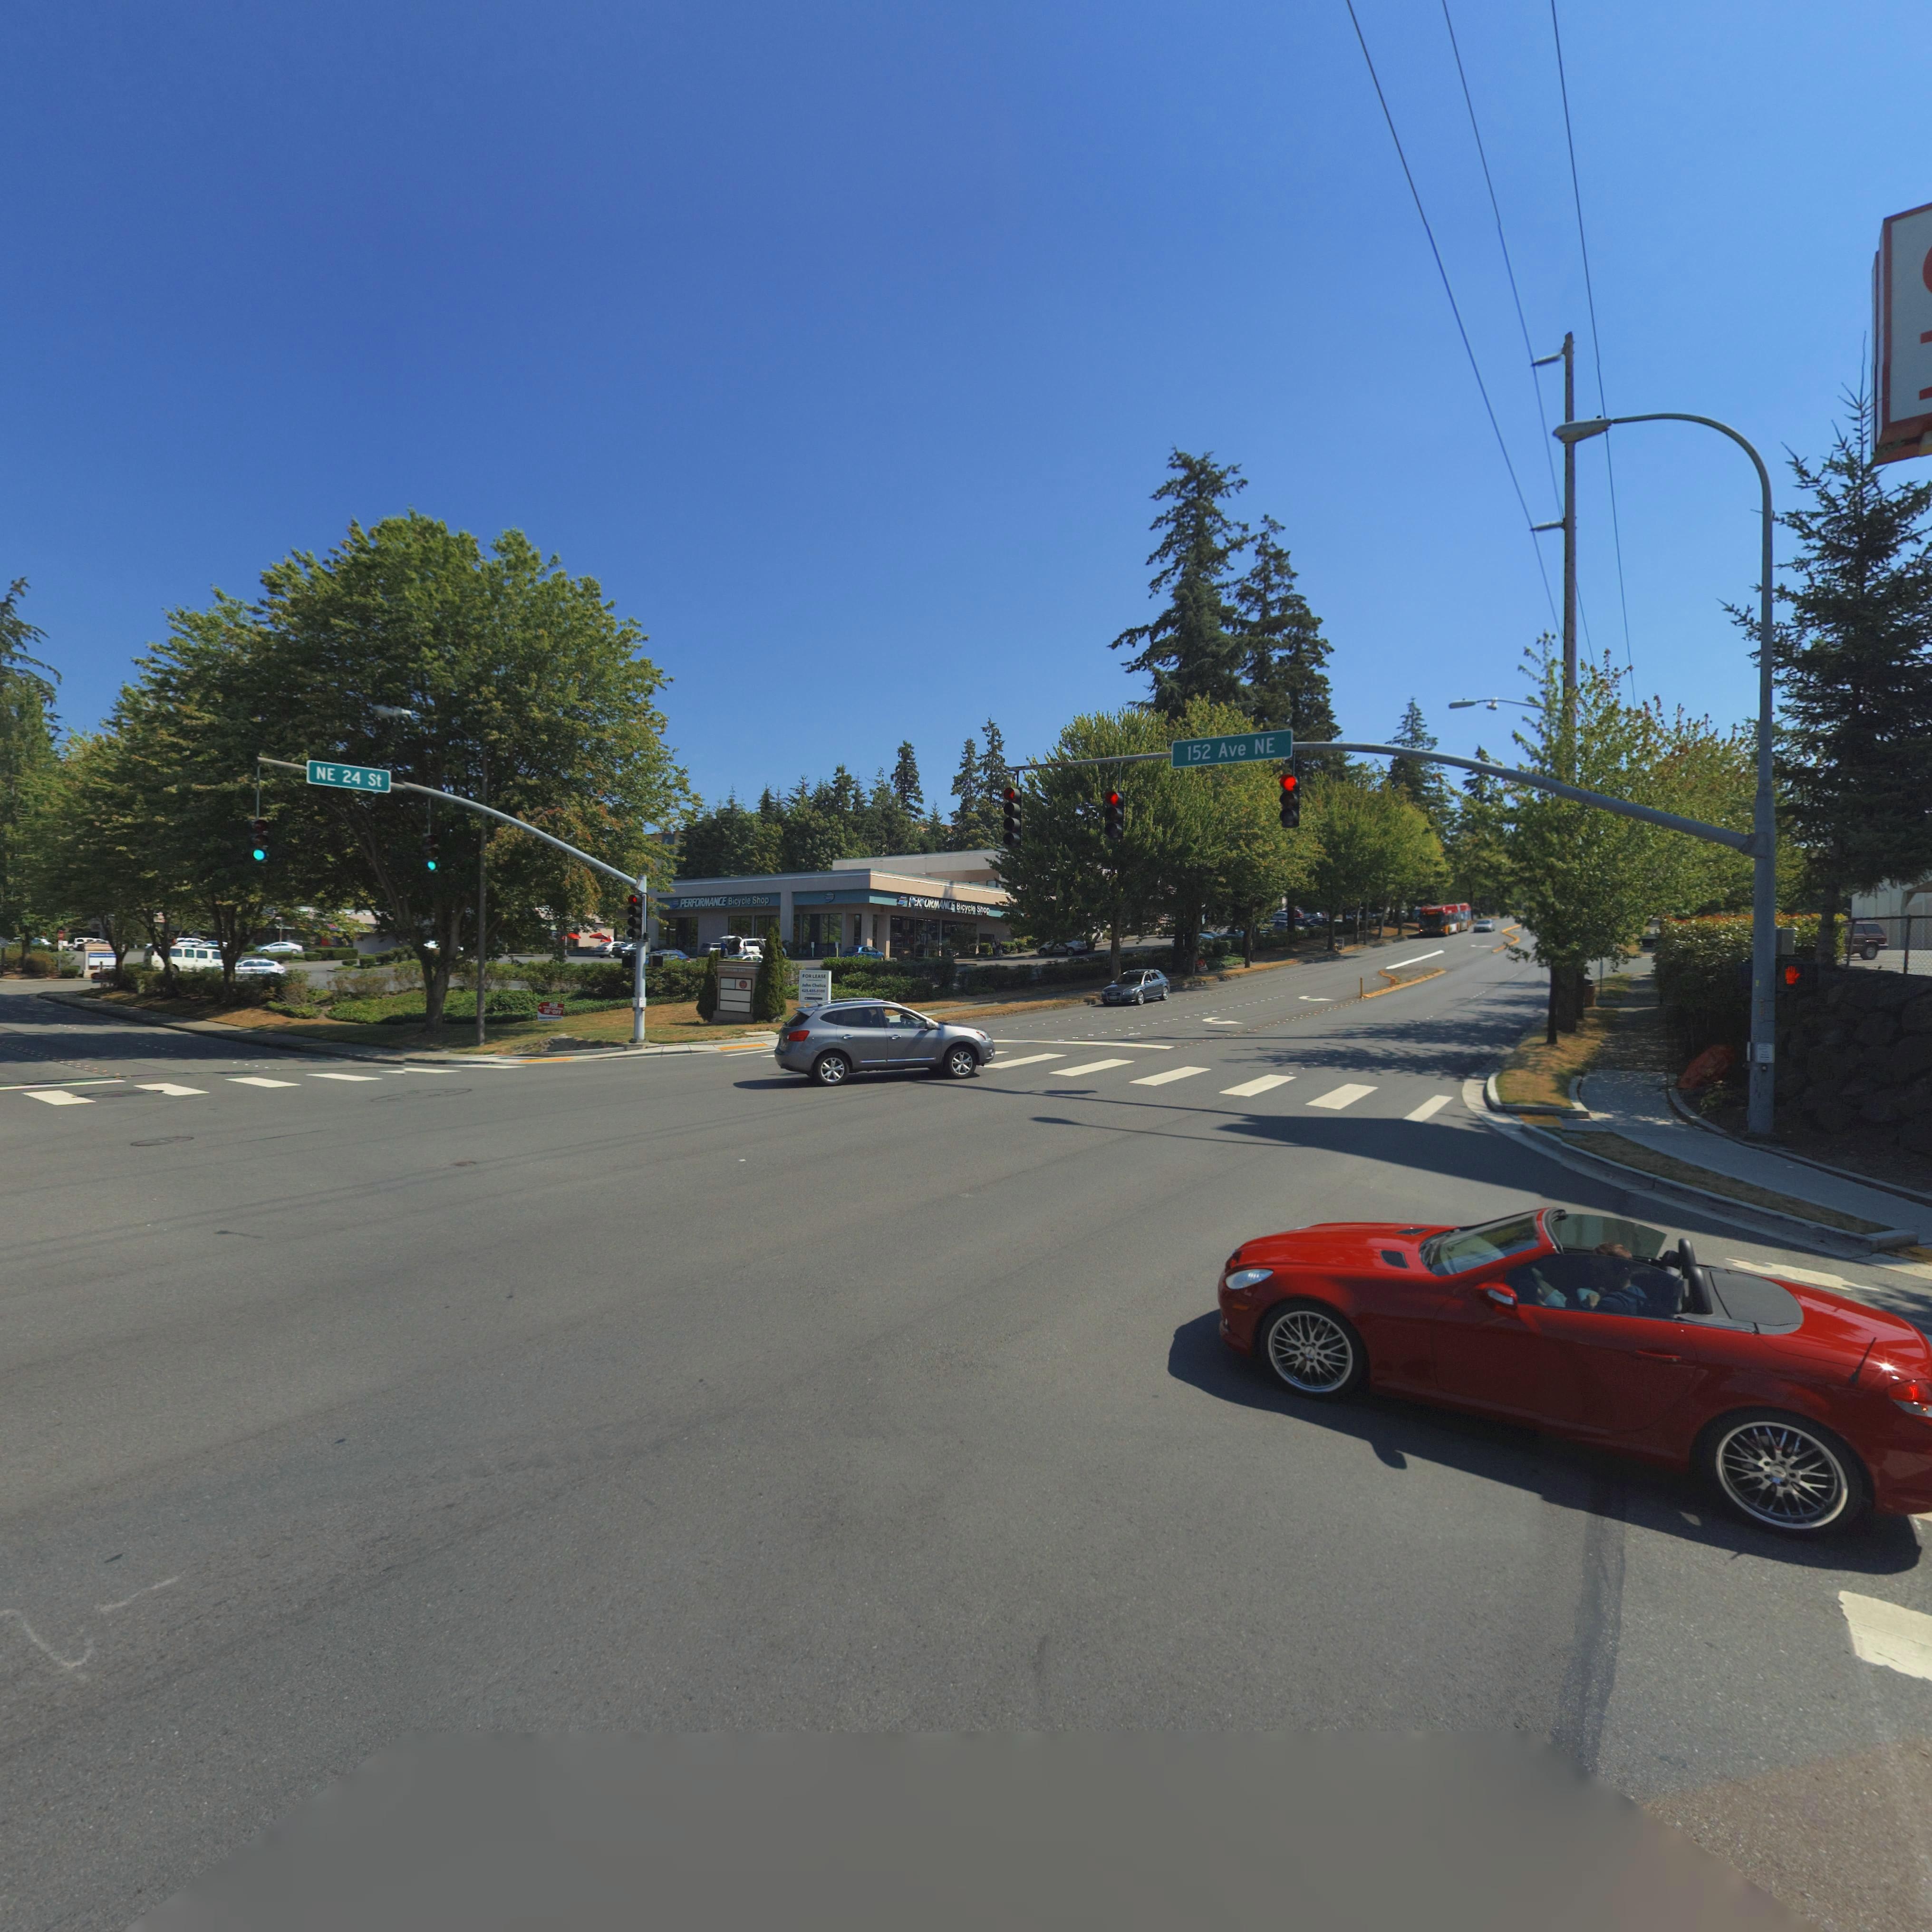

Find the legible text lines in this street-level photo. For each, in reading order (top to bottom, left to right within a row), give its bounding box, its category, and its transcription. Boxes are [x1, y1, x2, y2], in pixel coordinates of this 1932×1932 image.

[1191, 737, 1275, 760] StreetName: 52 Ave NE
[315, 763, 385, 789] StreetName: NE 24 St